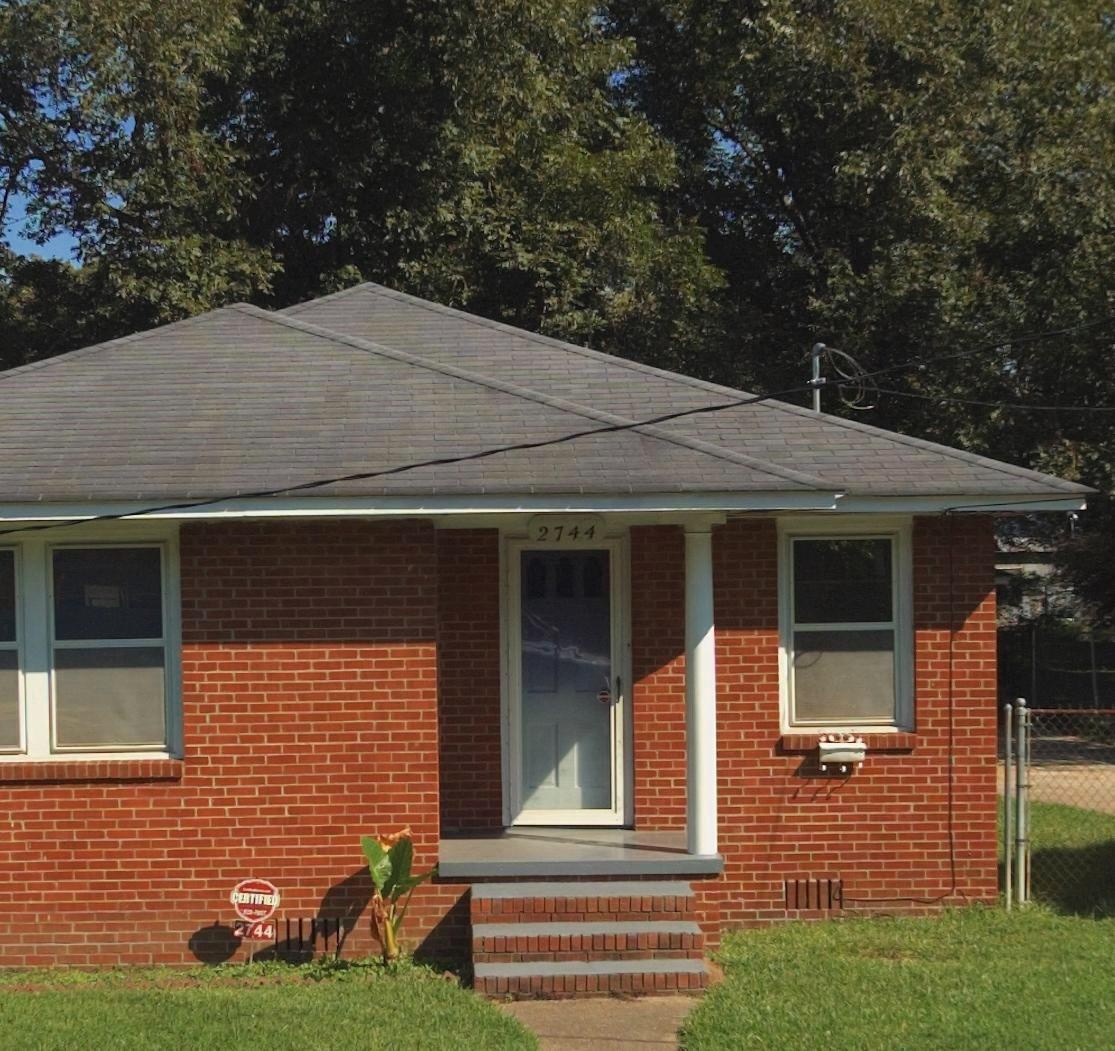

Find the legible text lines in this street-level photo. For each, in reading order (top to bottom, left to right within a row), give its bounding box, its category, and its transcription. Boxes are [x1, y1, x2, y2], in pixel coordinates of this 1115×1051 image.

[536, 522, 597, 543] StreetNumber: 2744
[230, 890, 279, 908] None: CERTIFIED
[233, 921, 276, 941] StreetNumber: 2744